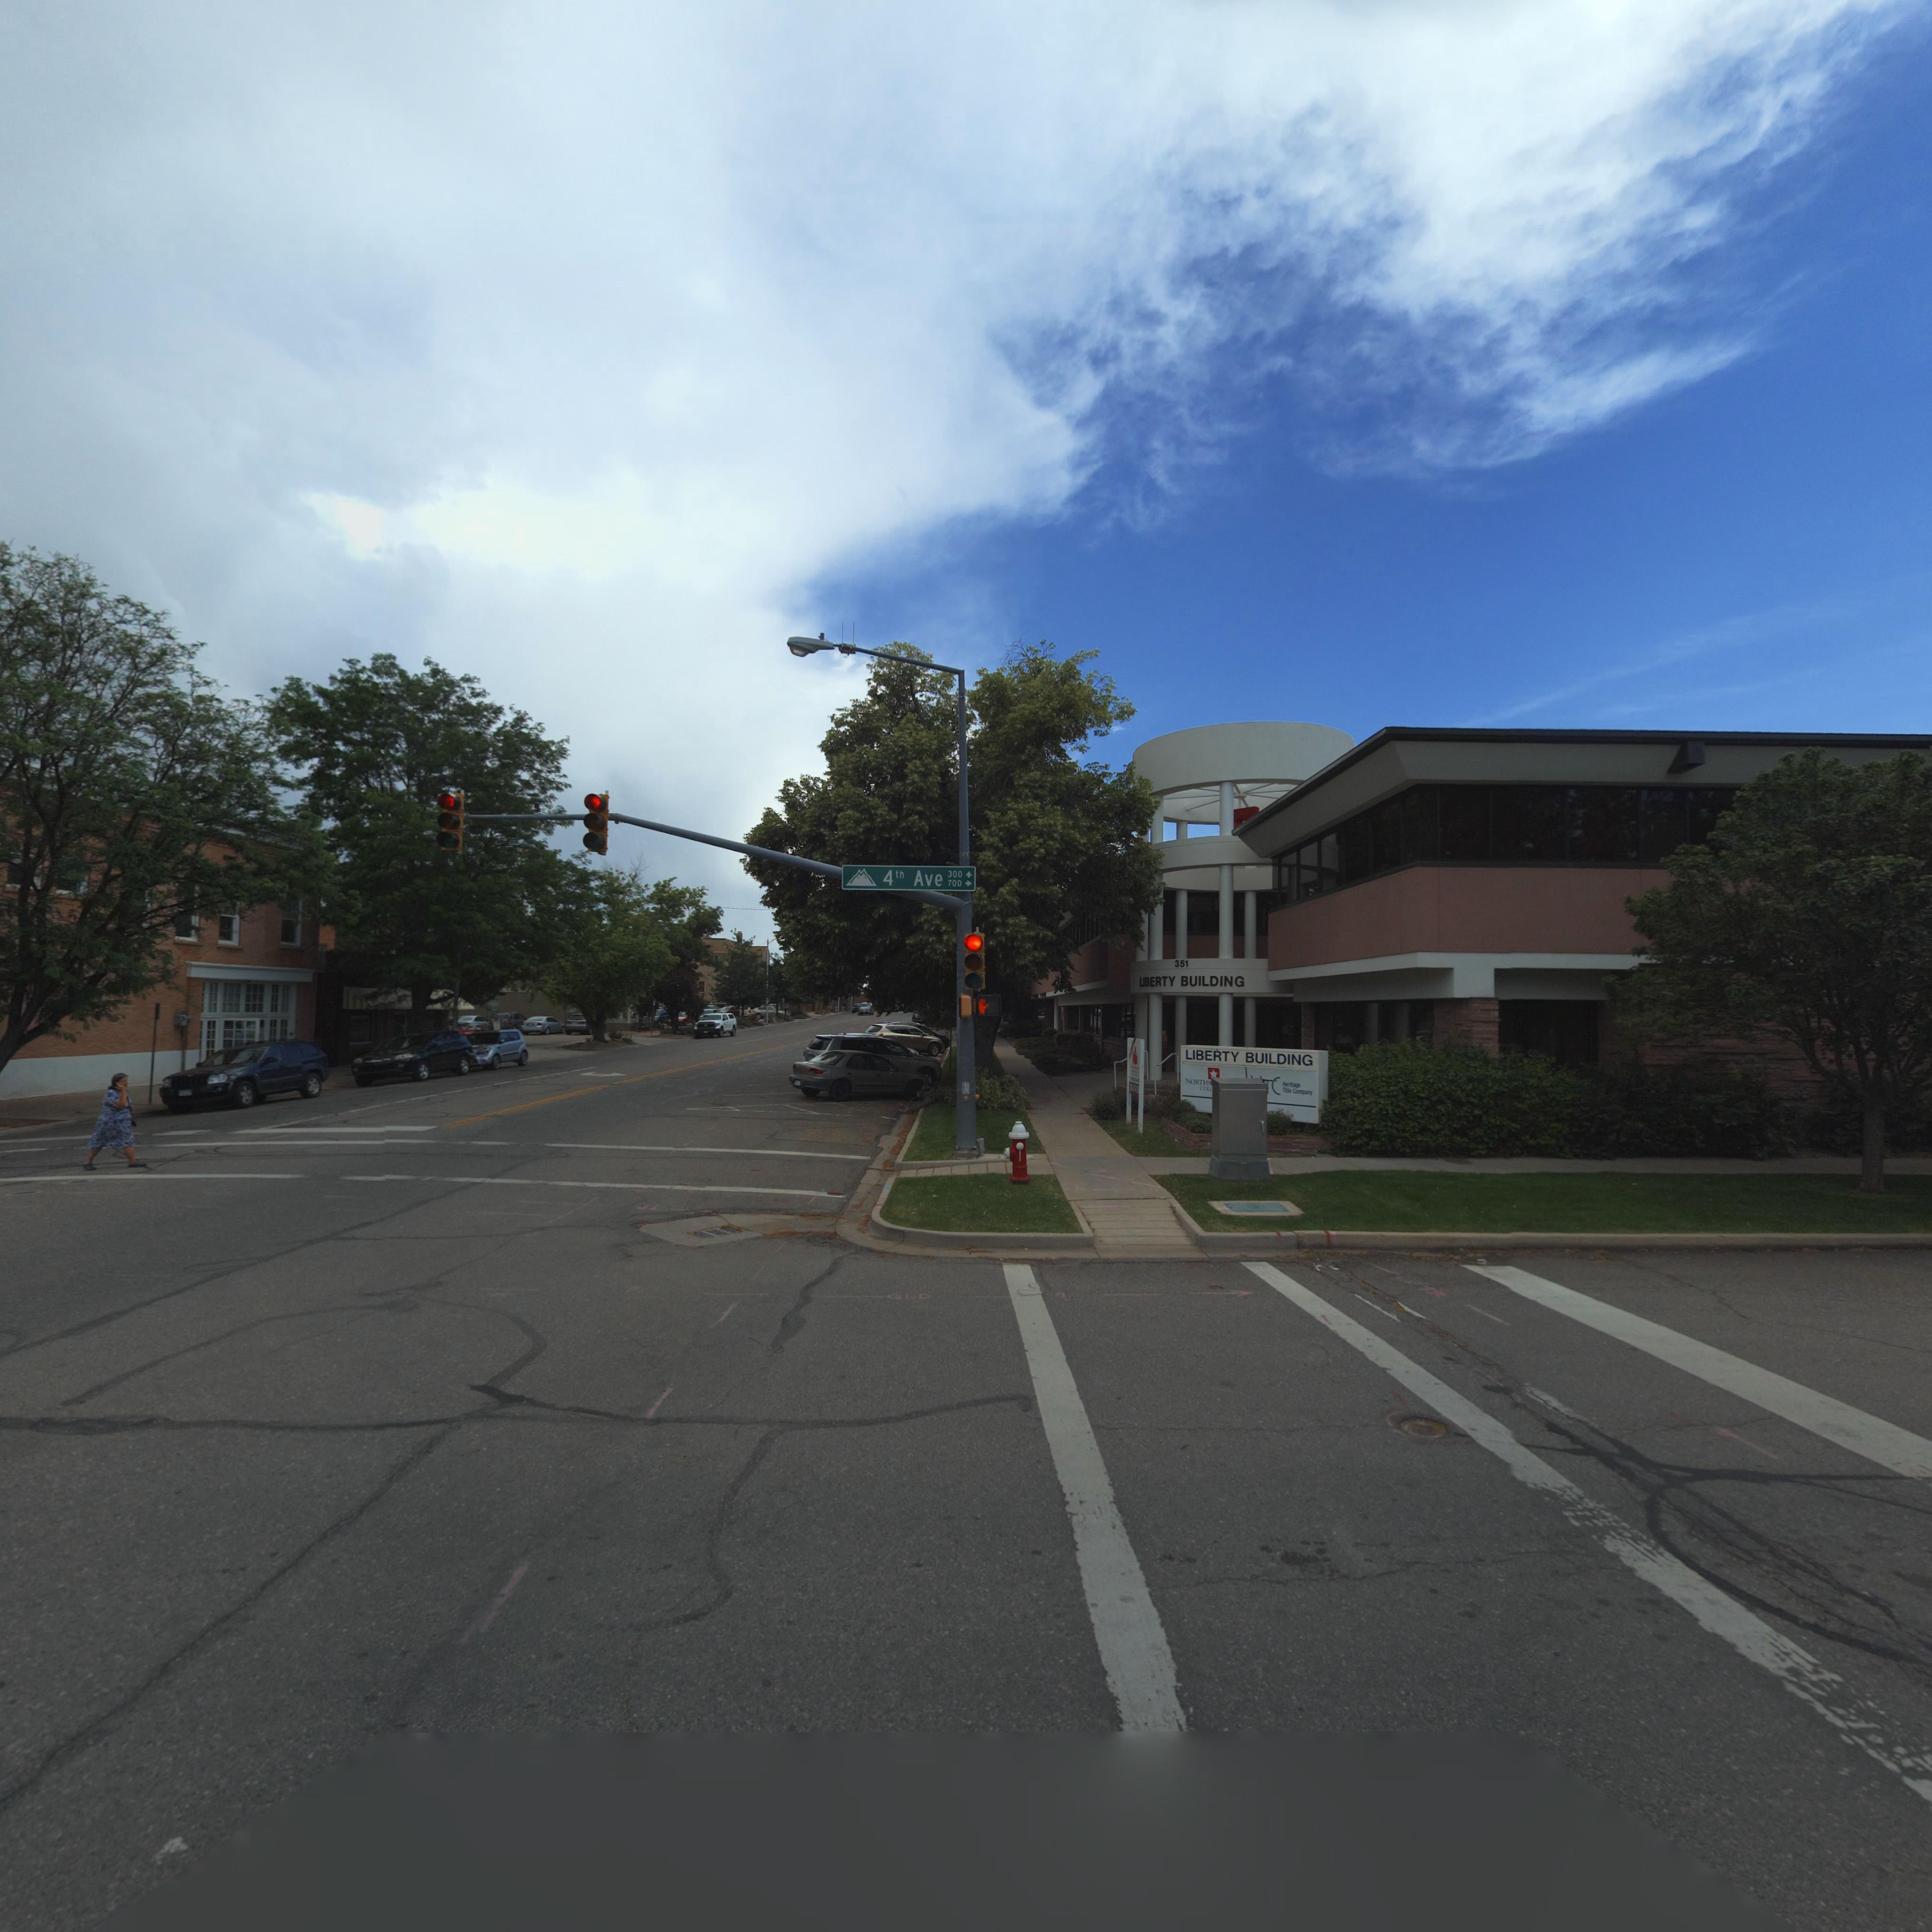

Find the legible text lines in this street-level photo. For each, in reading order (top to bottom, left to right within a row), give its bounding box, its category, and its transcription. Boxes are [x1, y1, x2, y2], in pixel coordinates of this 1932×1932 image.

[882, 870, 942, 886] StreetName: 4th Ave
[948, 870, 962, 878] StreetNumber: 300
[947, 879, 972, 887] StreetNumberRange: 700 ->
[1175, 959, 1188, 967] StreetNumber: 351
[1185, 1078, 1211, 1086] BusinessName: NORTHS
[1270, 1076, 1281, 1095] BusinessName: C
[1282, 1081, 1300, 1088] BusinessName: Heritage
[1282, 1087, 1291, 1093] BusinessName: Title
[1293, 1088, 1312, 1096] BusinessName: Company